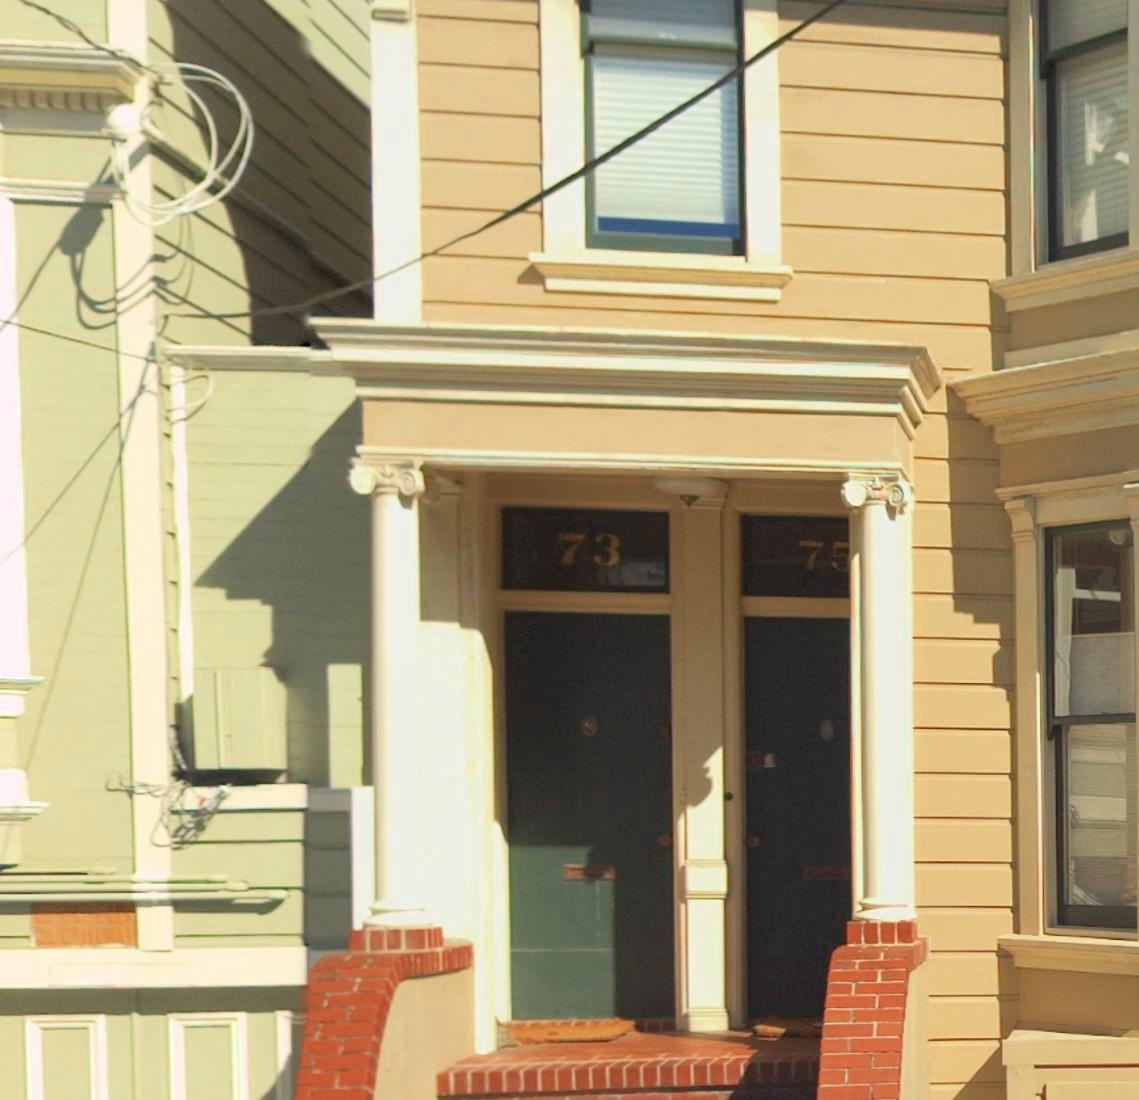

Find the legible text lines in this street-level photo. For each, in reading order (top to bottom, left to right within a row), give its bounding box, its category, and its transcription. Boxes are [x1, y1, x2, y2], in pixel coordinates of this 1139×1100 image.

[555, 529, 622, 568] StreetNumber: 73
[796, 539, 850, 572] StreetNumber: 7*